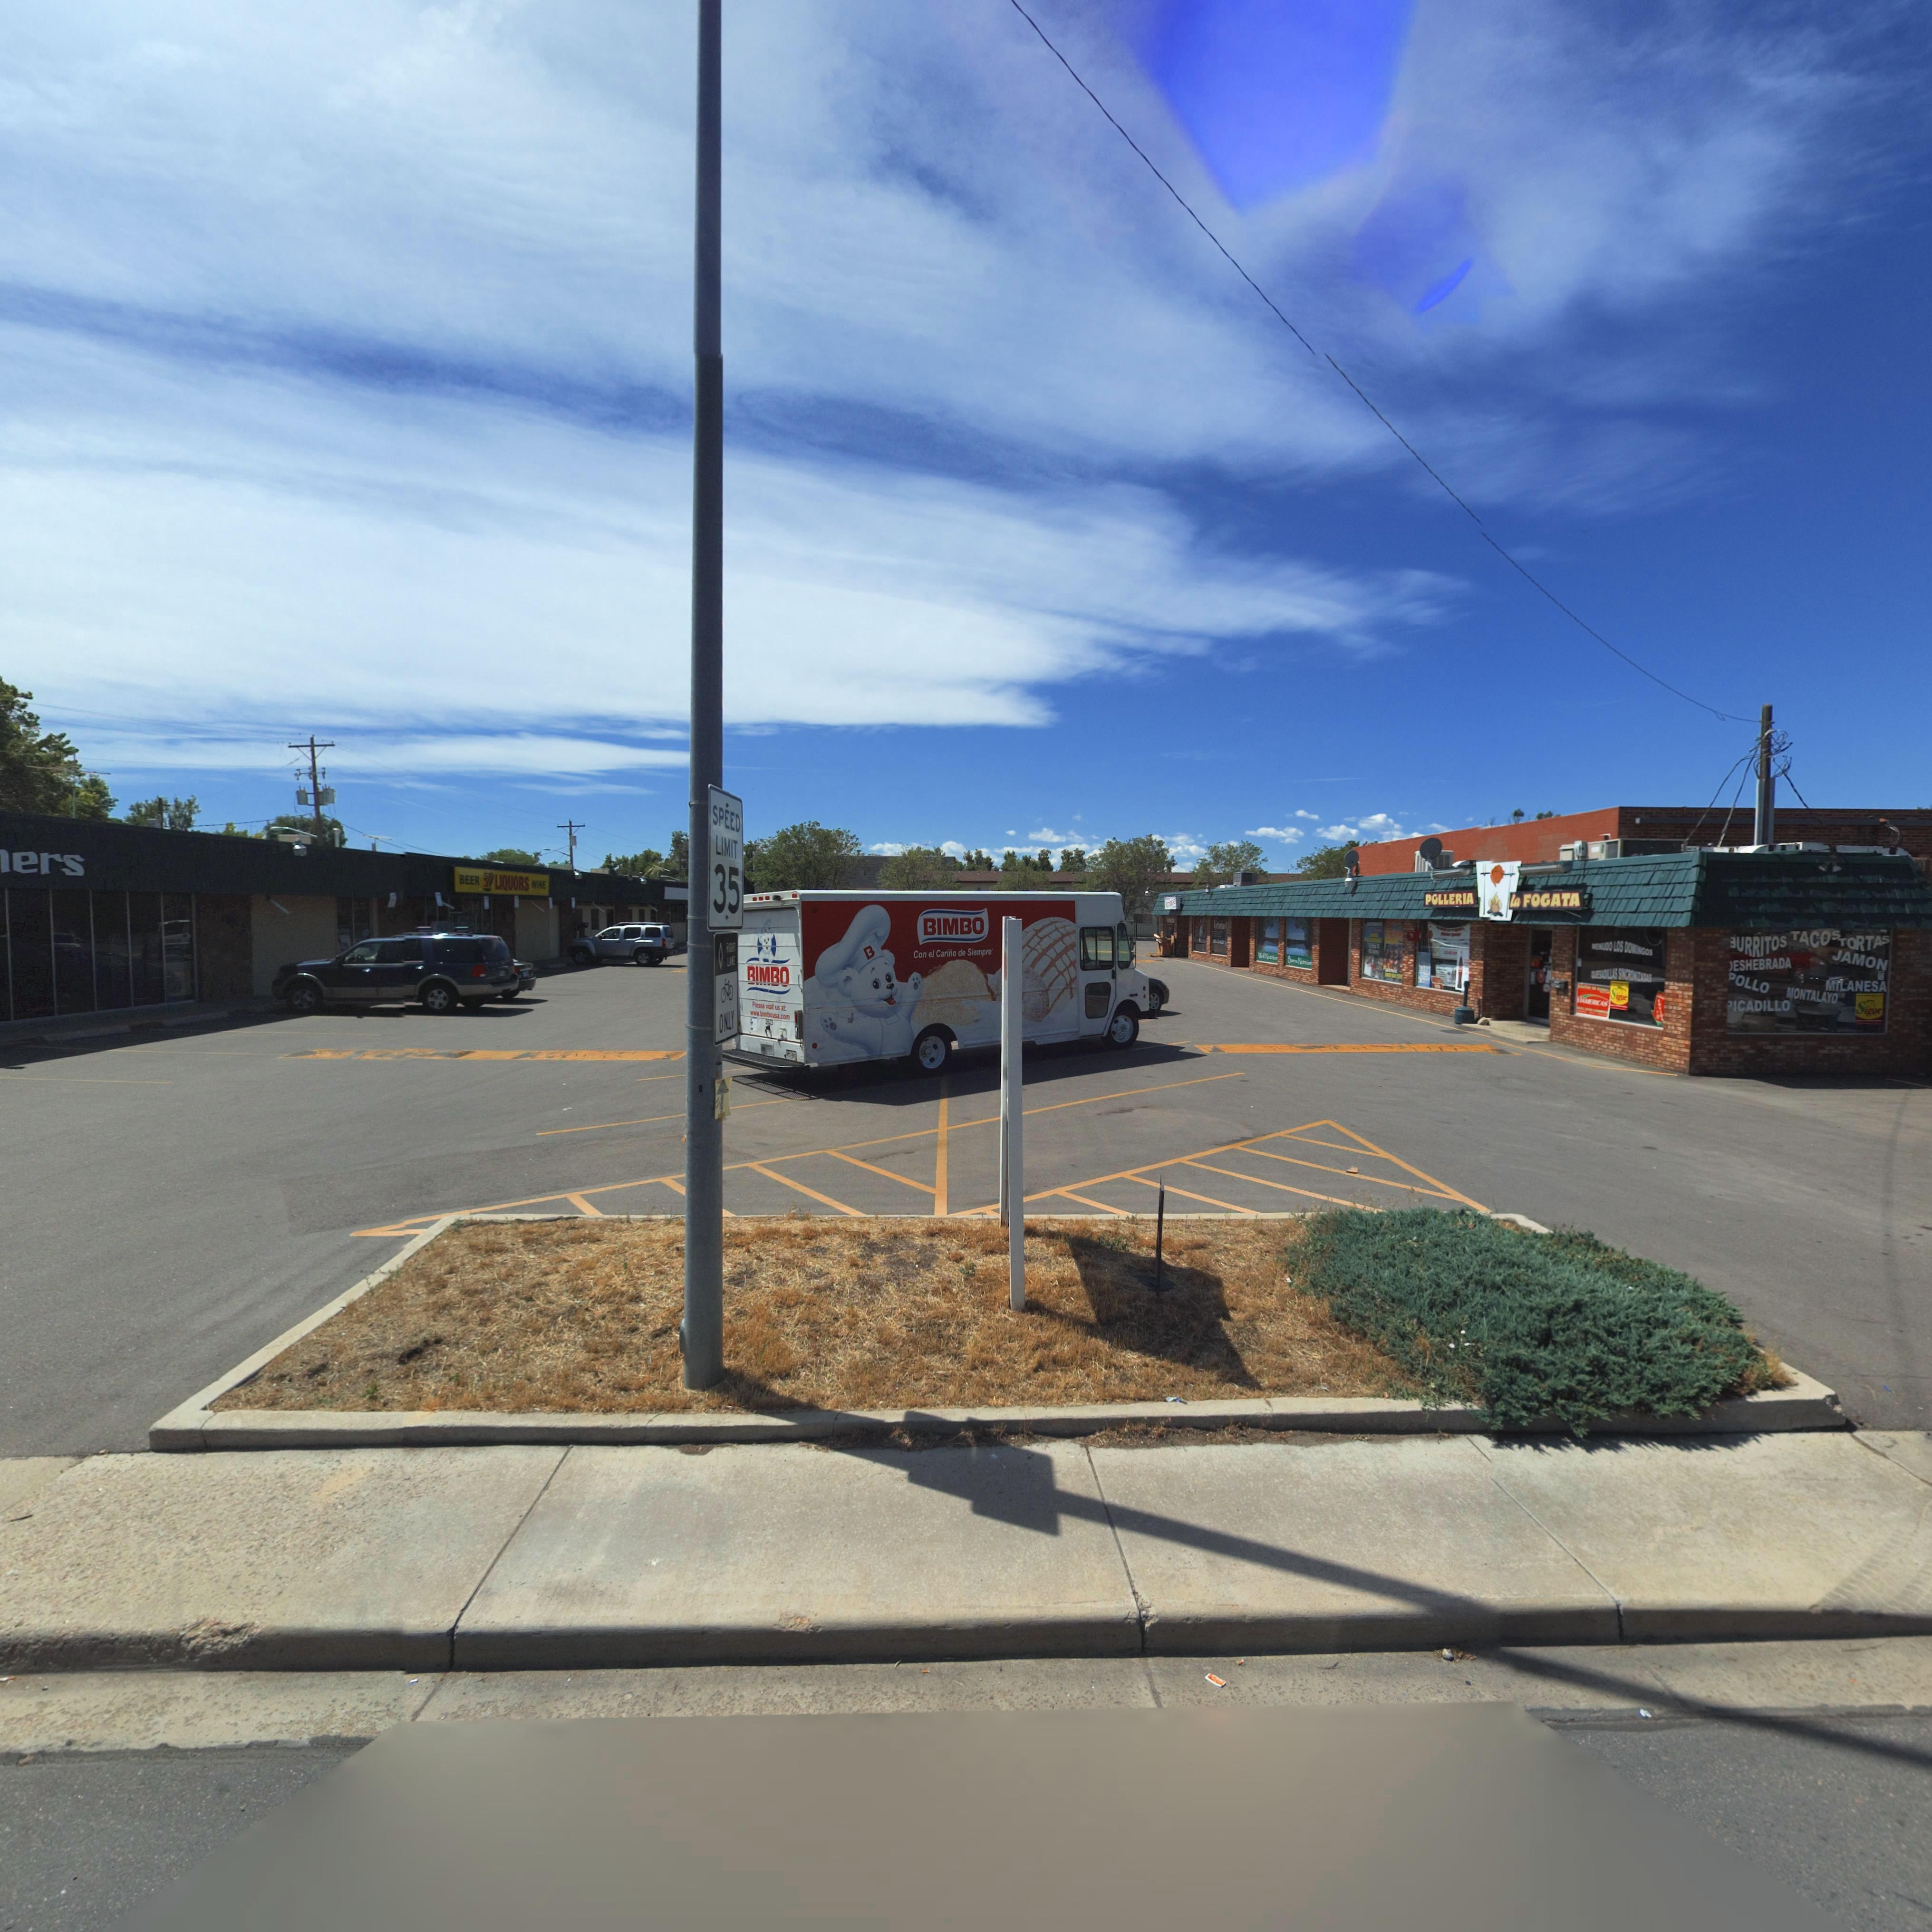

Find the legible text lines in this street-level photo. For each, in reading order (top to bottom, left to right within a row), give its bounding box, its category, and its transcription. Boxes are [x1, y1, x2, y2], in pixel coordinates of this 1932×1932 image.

[11, 850, 86, 876] BusinessName: ers
[483, 870, 529, 891] BusinessName: 7 LIQUORS
[1165, 898, 1175, 908] BusinessName: V******S
[1424, 891, 1581, 908] BusinessName: POLLERIA la FOGATA